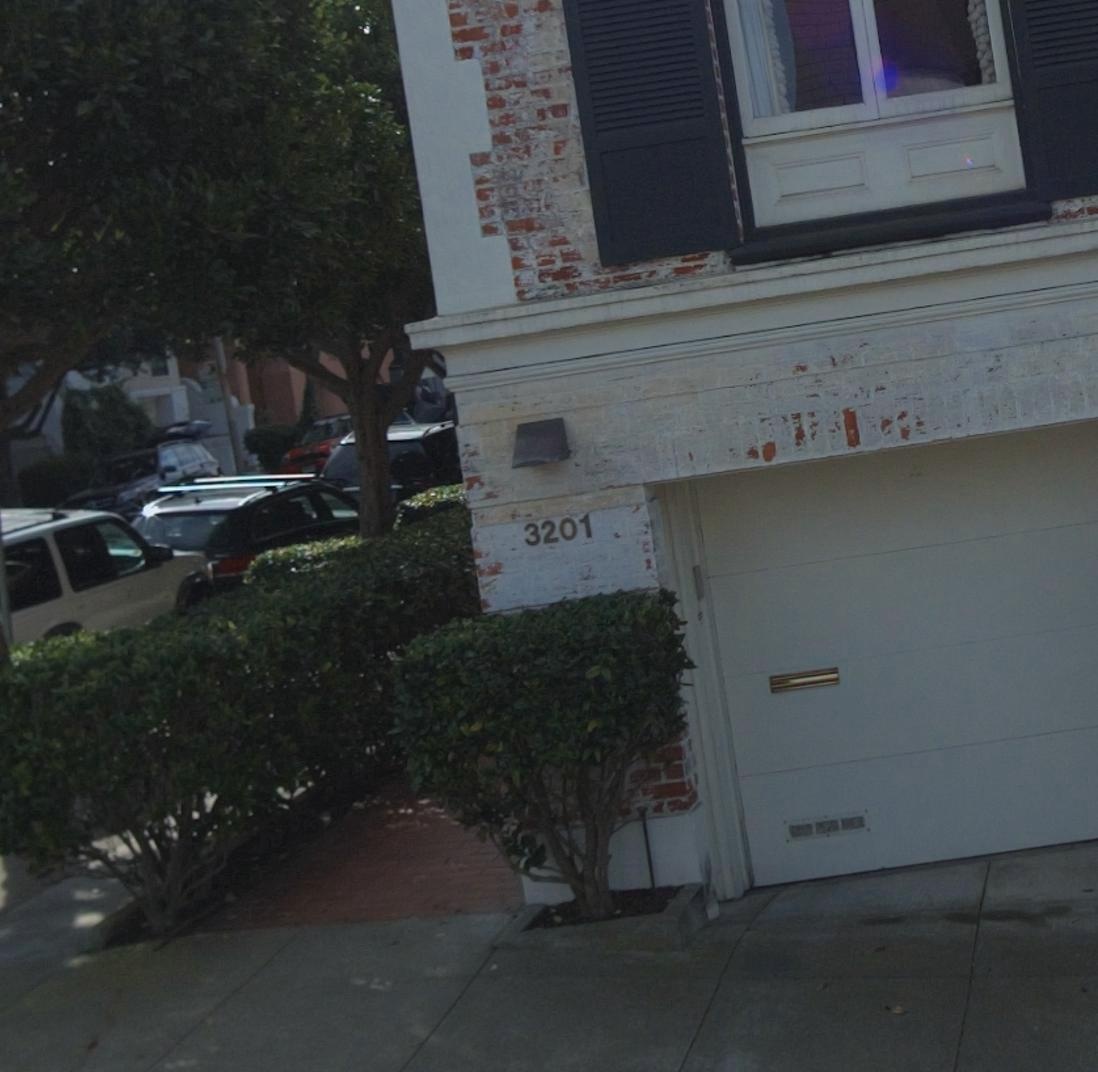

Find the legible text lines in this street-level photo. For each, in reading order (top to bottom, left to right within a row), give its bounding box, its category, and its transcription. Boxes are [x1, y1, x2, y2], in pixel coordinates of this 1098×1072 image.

[520, 509, 595, 550] StreetNumber: 3201